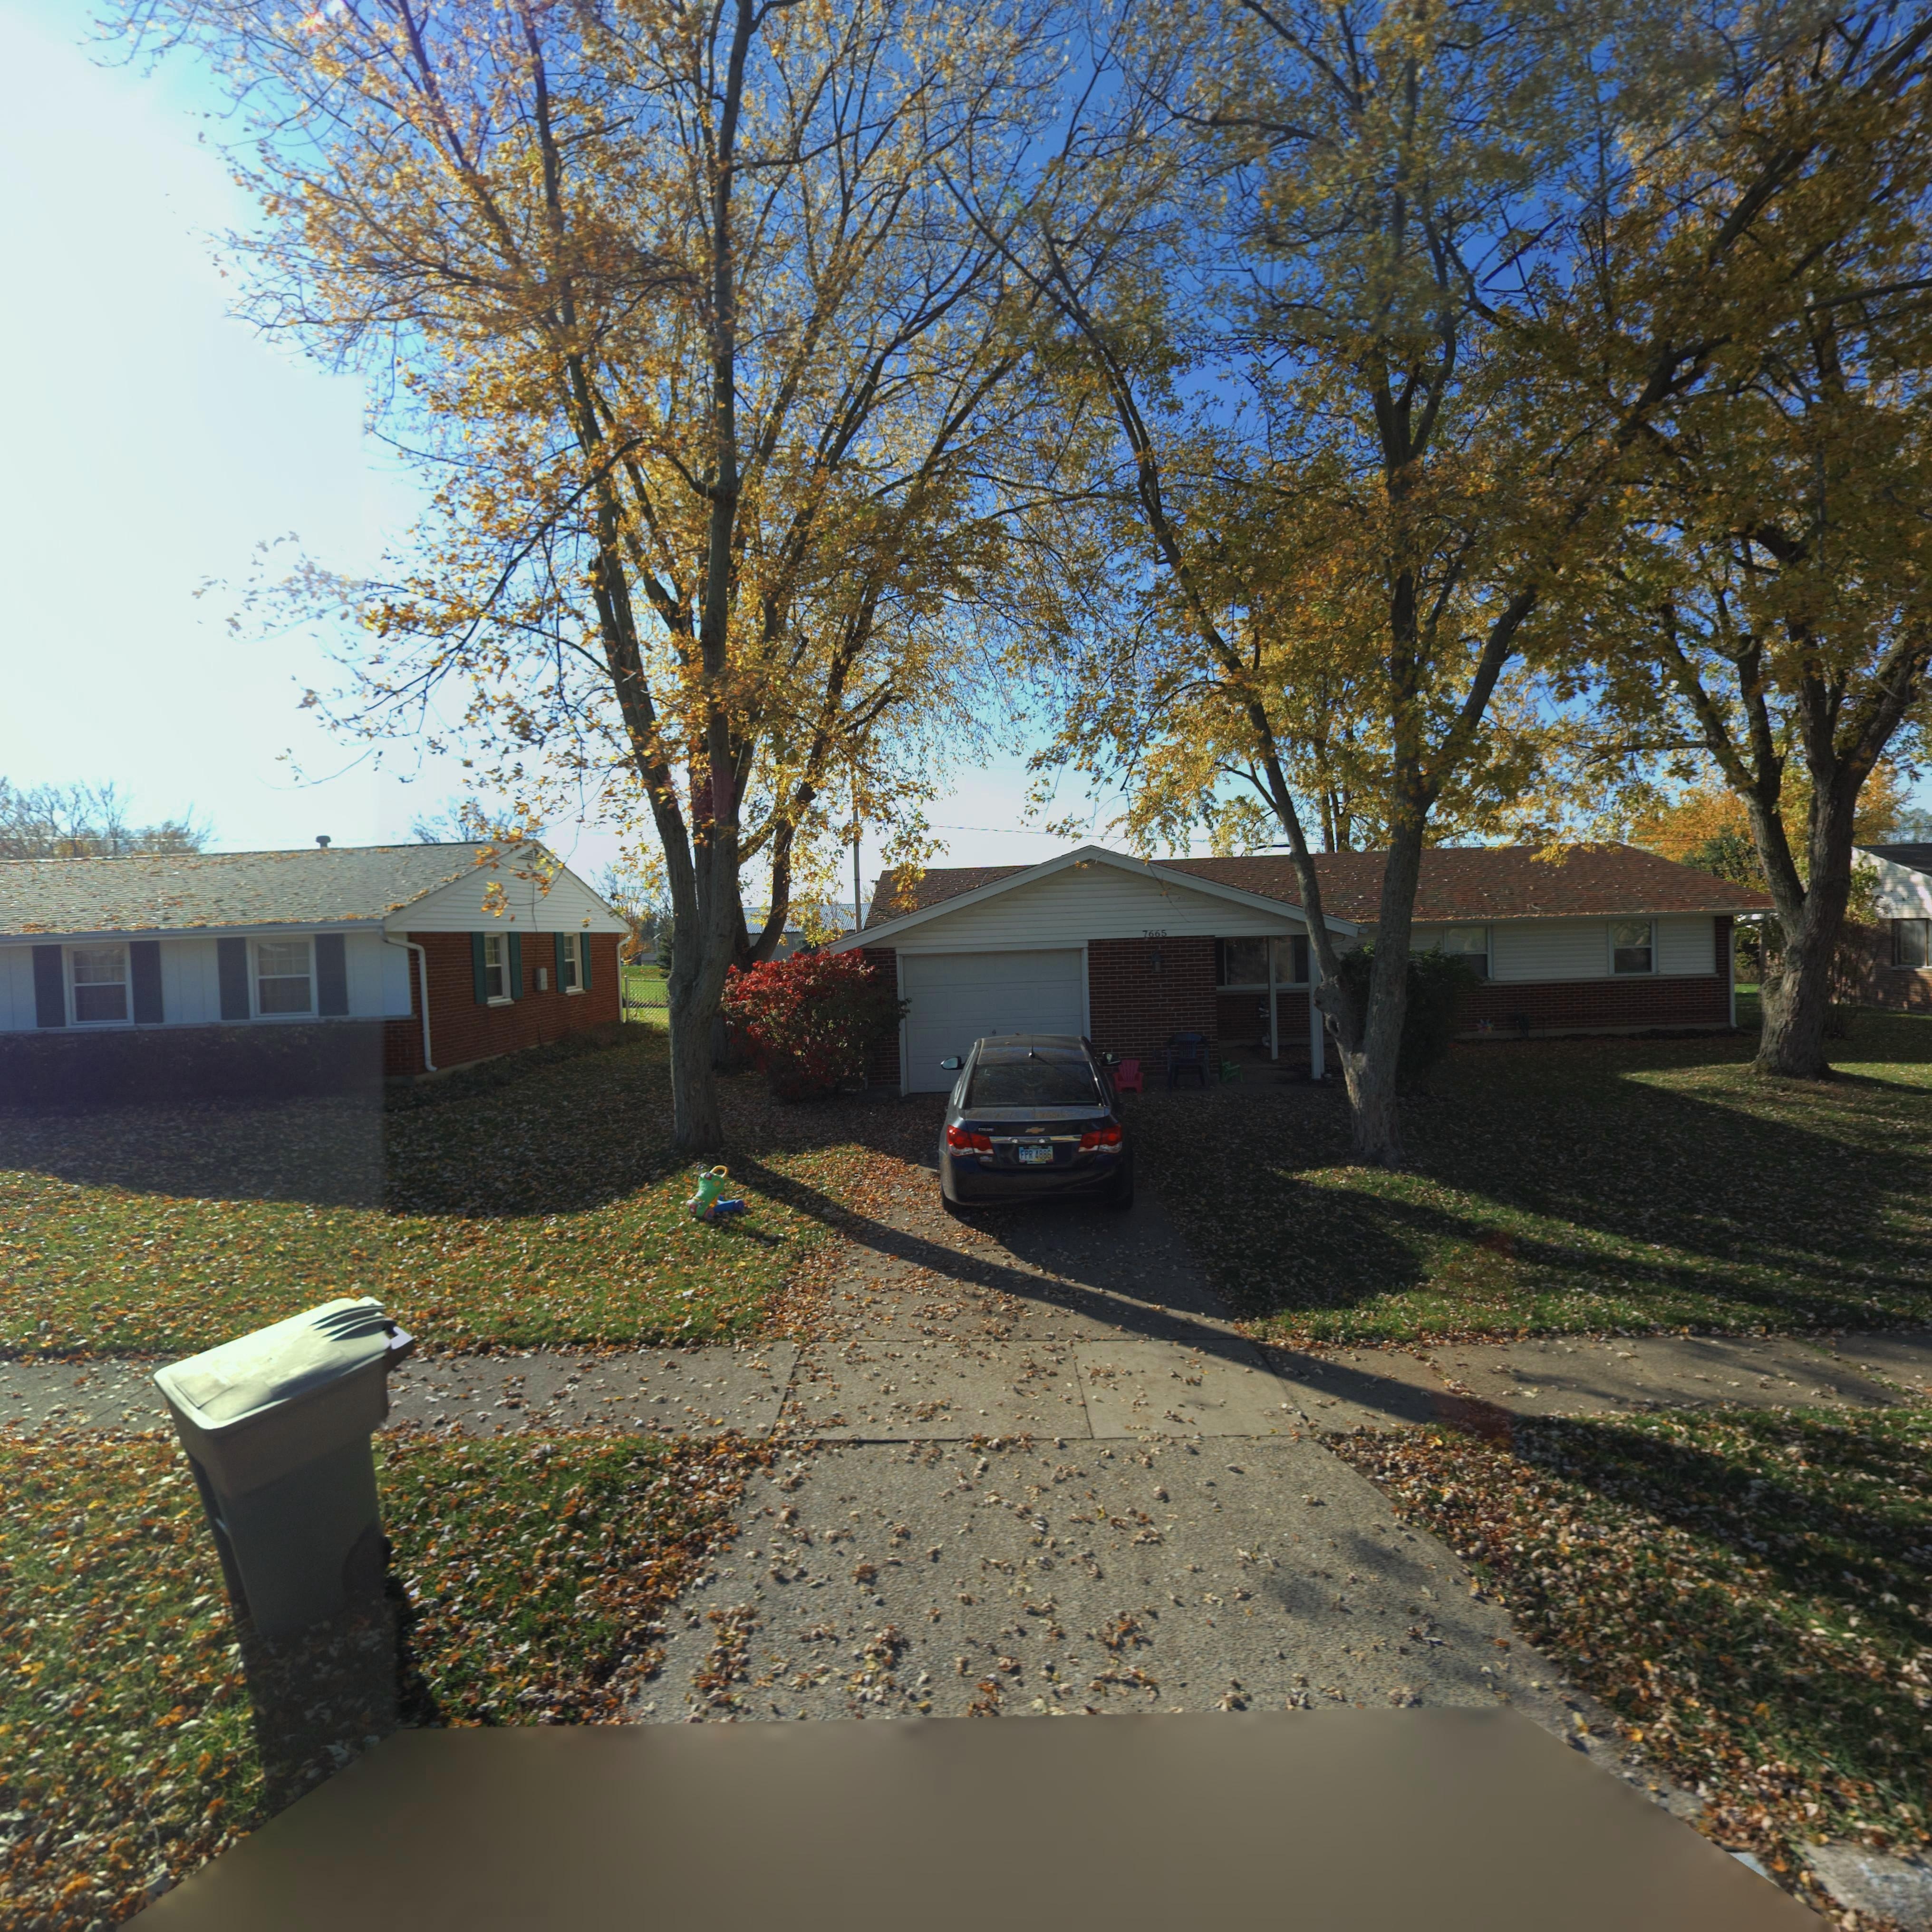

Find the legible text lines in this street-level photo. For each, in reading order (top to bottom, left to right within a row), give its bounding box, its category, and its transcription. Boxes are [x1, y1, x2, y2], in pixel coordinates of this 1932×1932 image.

[1141, 928, 1168, 939] StreetNumber: 7665